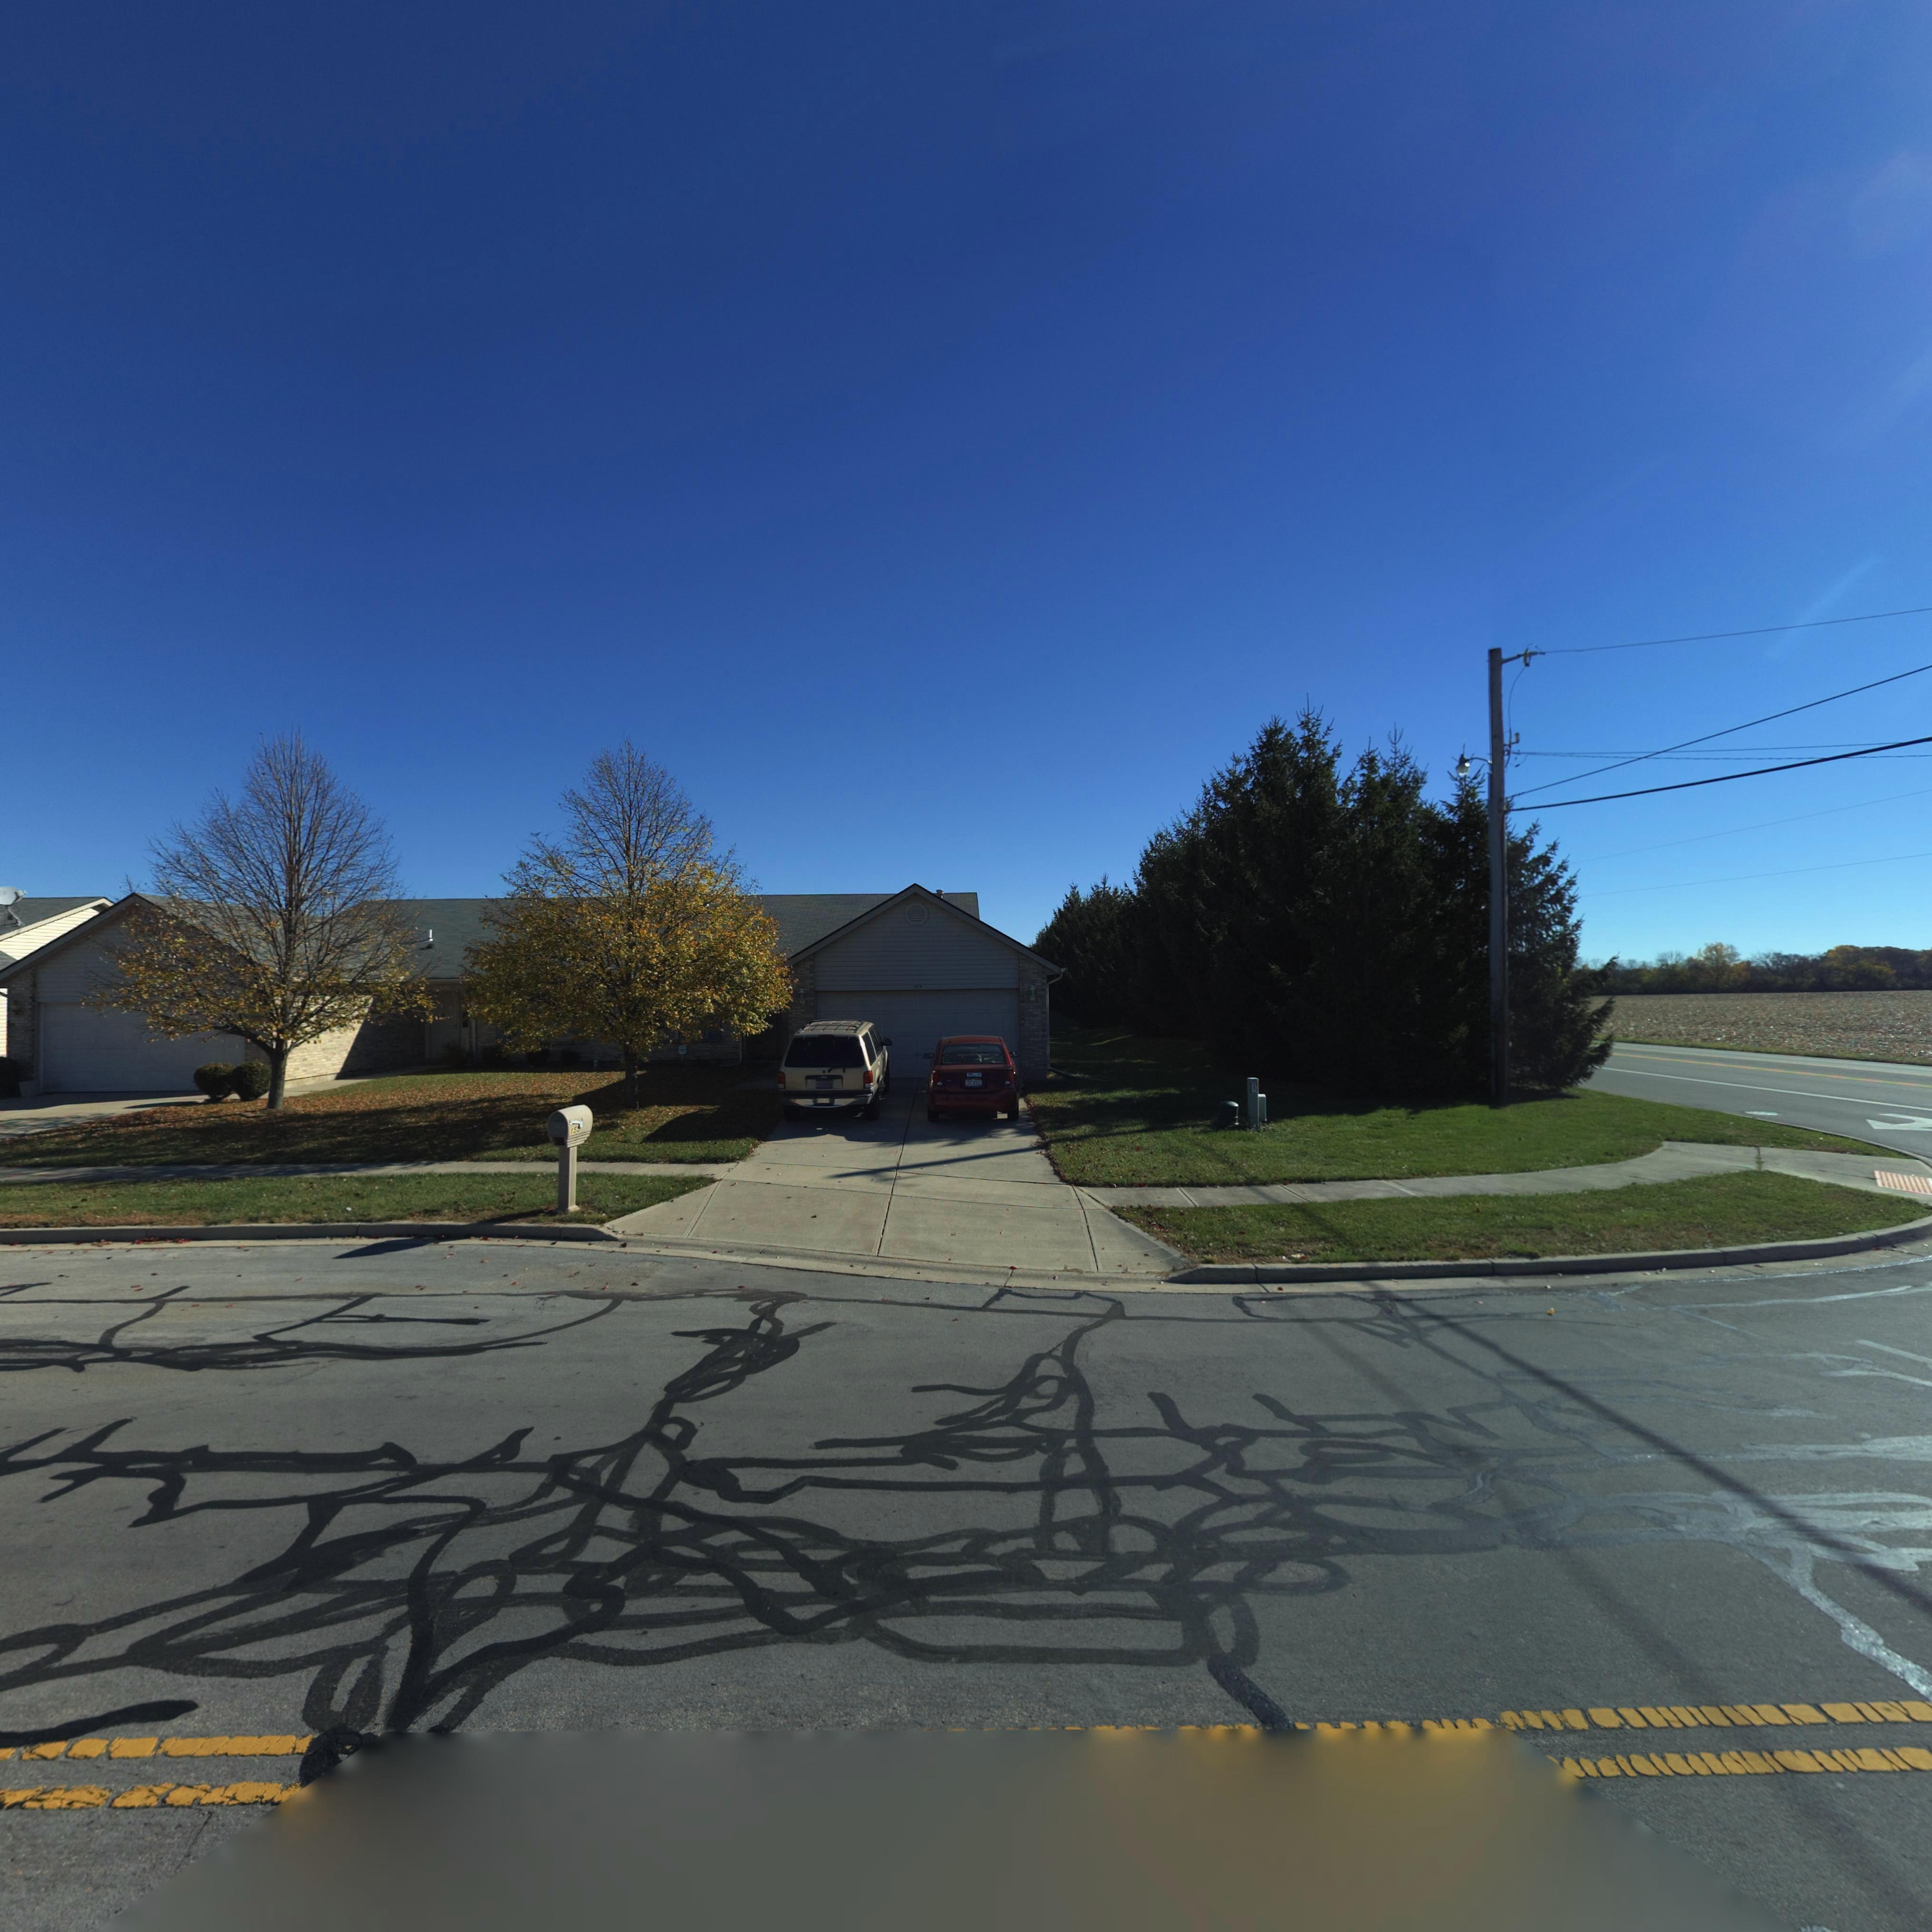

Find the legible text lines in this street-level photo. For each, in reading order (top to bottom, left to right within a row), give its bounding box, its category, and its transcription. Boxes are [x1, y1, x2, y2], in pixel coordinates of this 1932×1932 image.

[913, 985, 922, 989] StreetNumber: 155
[570, 1125, 578, 1136] StreetNumber: 15